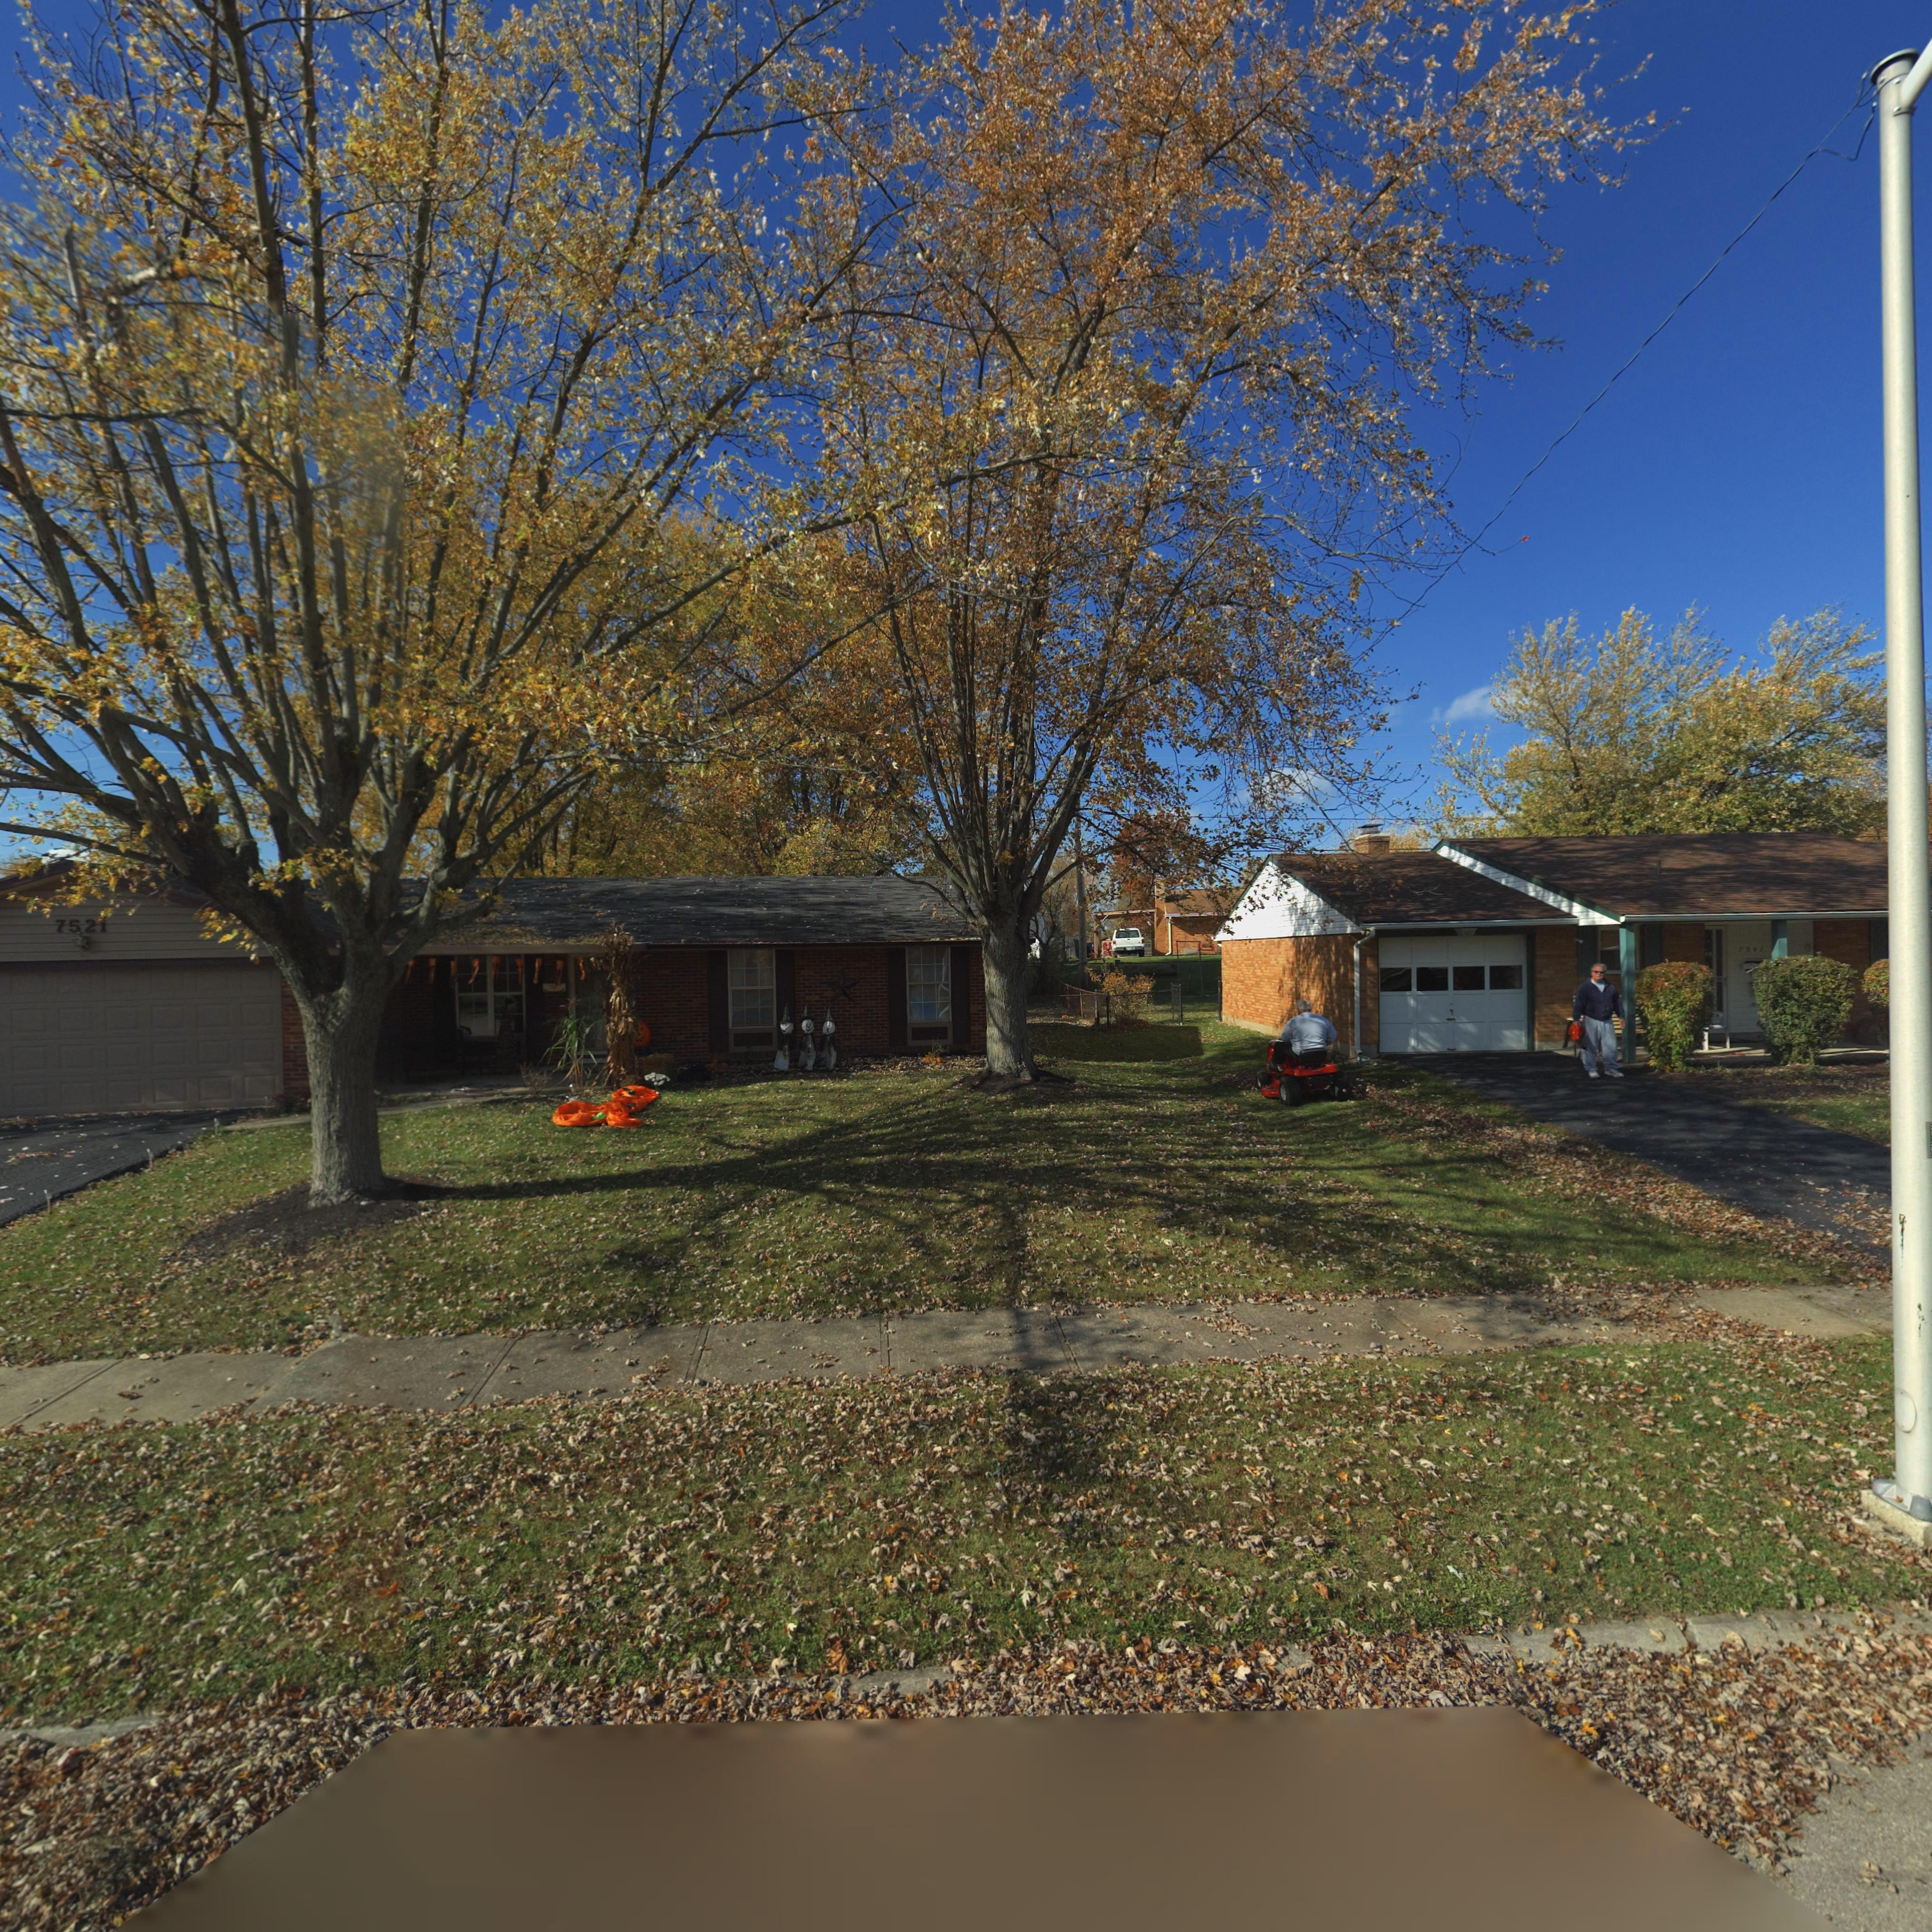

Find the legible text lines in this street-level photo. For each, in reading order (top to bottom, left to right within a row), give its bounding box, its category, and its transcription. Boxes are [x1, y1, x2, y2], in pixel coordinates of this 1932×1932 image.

[53, 916, 109, 935] StreetNumber: 752*
[1737, 945, 1765, 954] StreetNumber: **4*